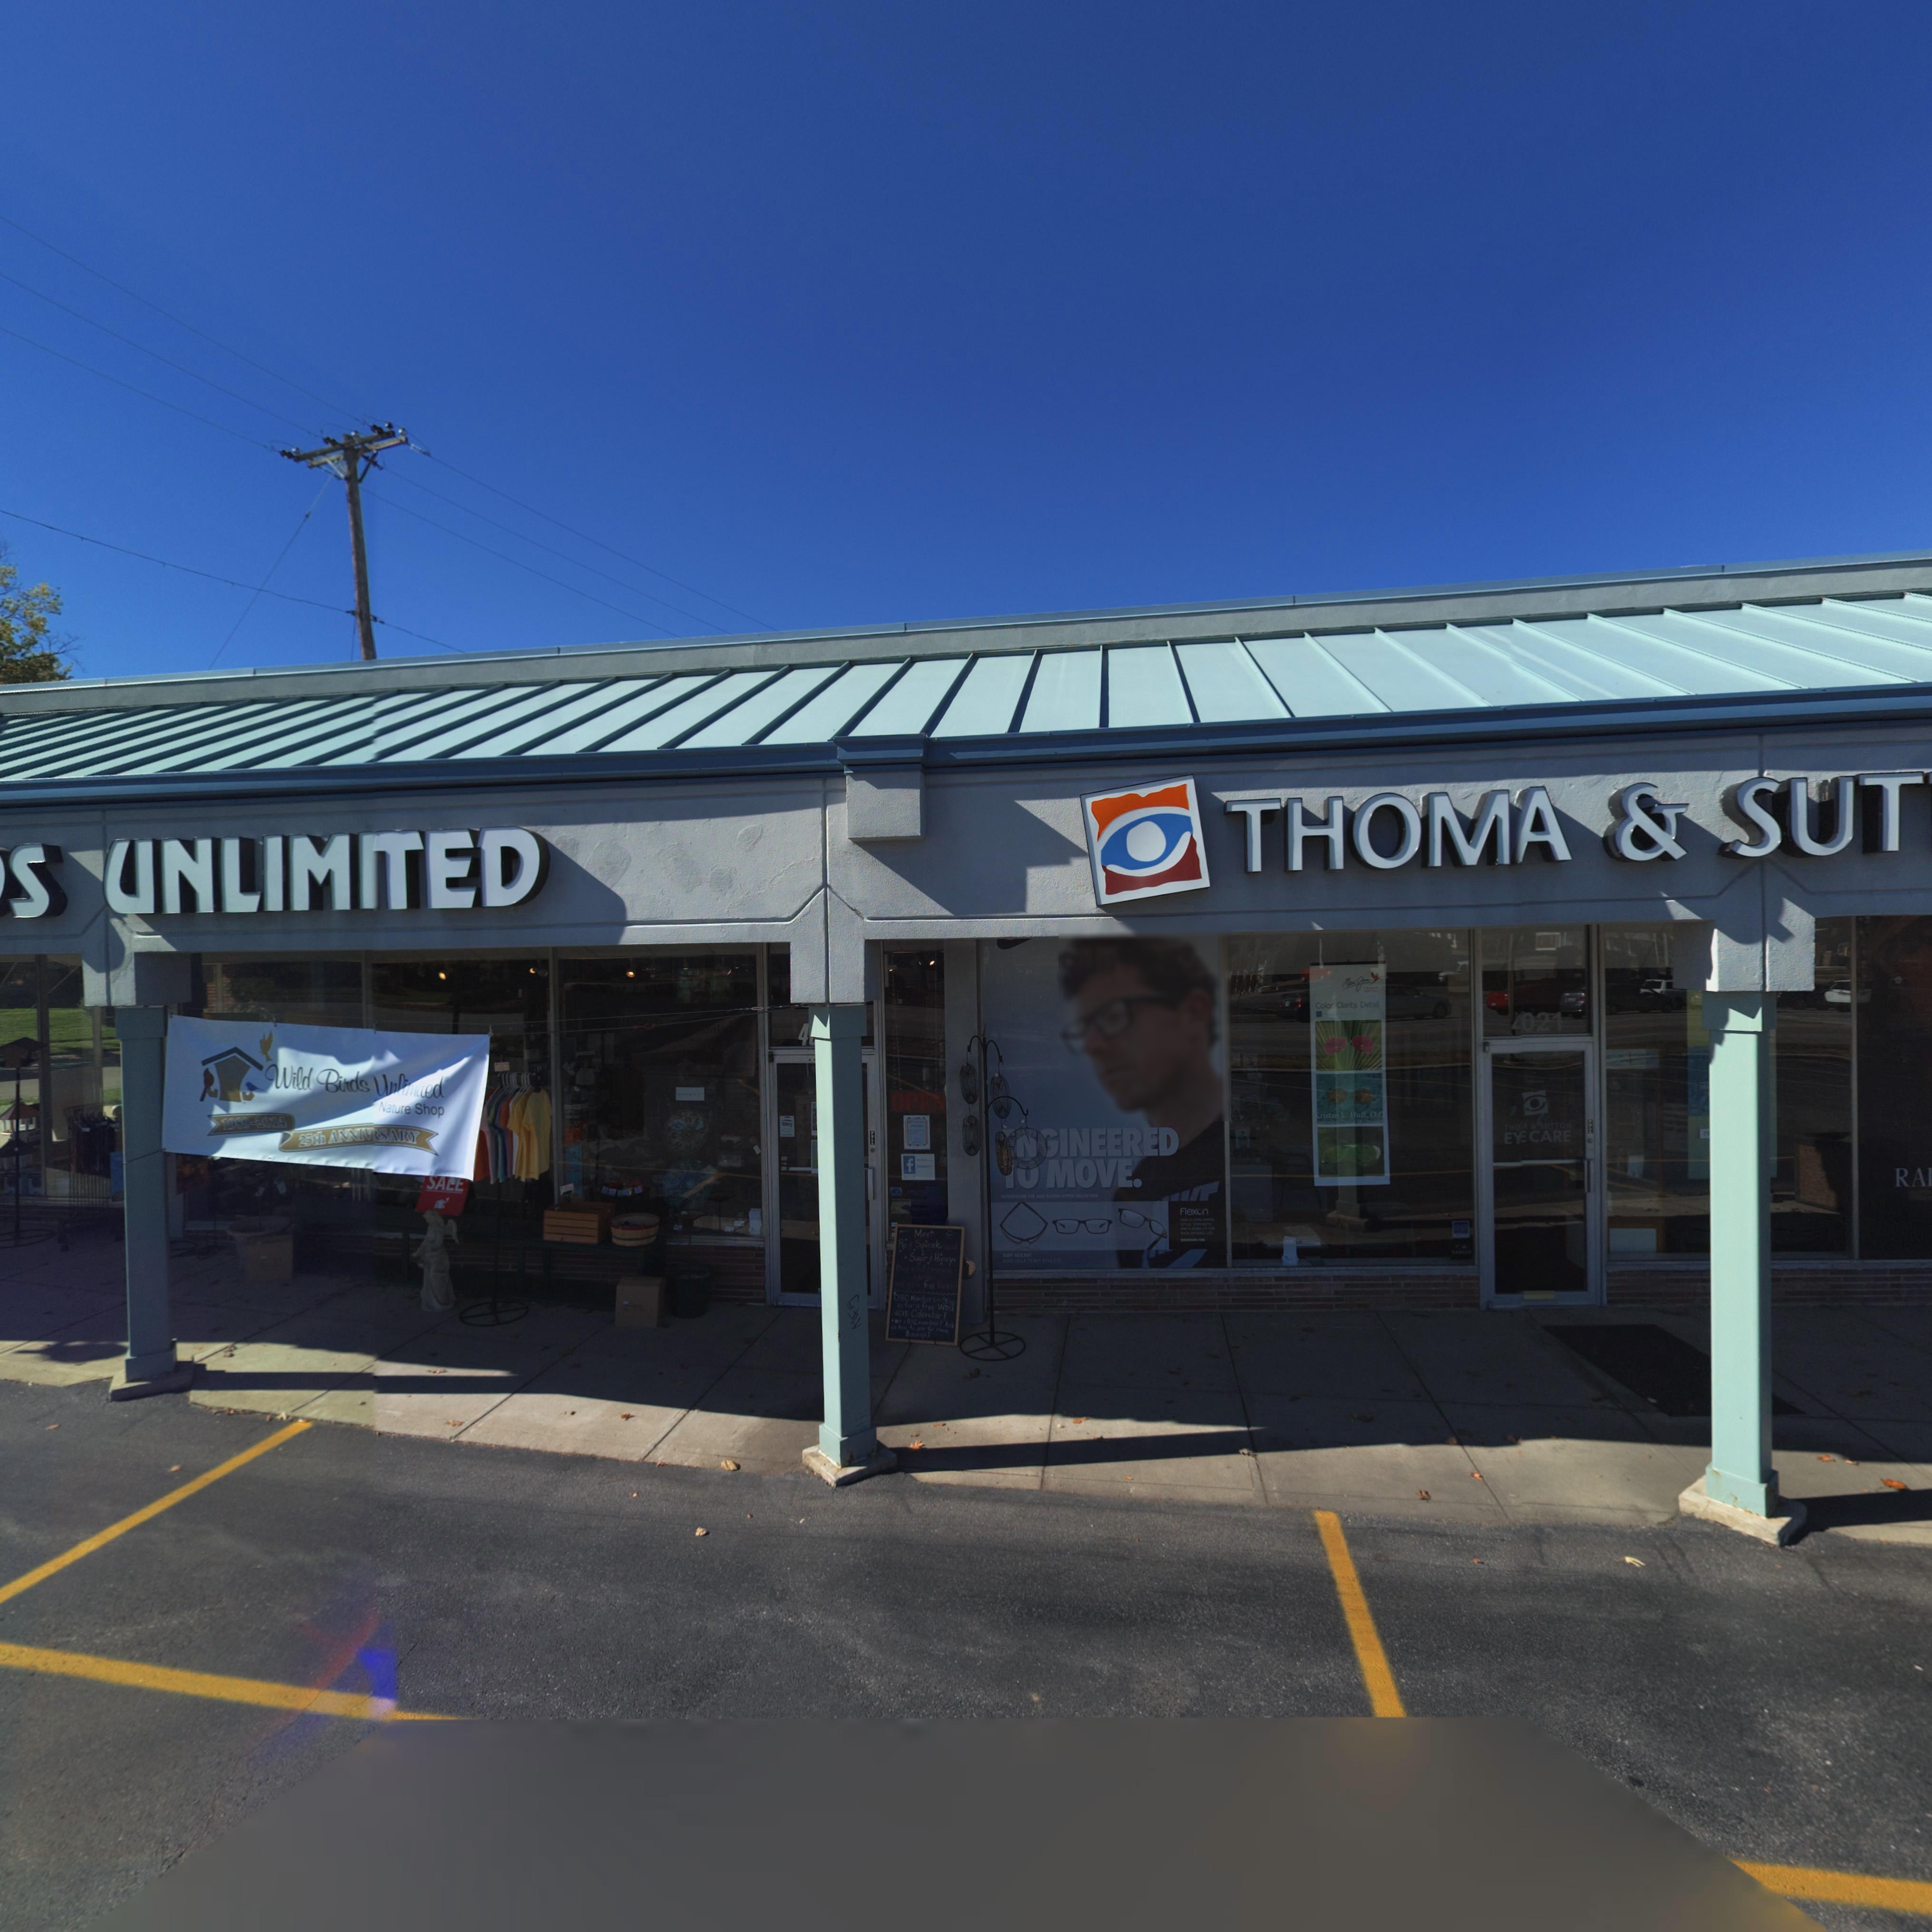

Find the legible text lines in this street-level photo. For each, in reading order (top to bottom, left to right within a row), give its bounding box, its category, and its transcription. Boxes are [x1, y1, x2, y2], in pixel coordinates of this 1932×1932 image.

[1222, 768, 1927, 876] BusinessName: THOMA & SUT
[5, 823, 545, 920] BusinessName: S UNLIMITED
[1314, 1000, 1381, 1010] None: Color. Clarity. Detail.
[1520, 1010, 1564, 1034] StreetNumber: 021
[263, 1063, 446, 1100] BusinessName: Wild Birds Unlimited
[377, 1100, 445, 1120] BusinessName: Nature Shop
[220, 1115, 288, 1132] None: 1989-2004
[297, 1126, 422, 1148] None: 25th ANNIV*SARY
[1015, 1127, 1180, 1159] None: NGINEERED
[1503, 1122, 1573, 1131] BusinessName: THO*A & SUTTON
[1503, 1129, 1573, 1146] BusinessName: EY* CARE
[433, 1175, 446, 1191] None: A
[1015, 1158, 1143, 1190] None: O MOVE.
[1894, 1167, 1927, 1188] None: RA
[1179, 1207, 1209, 1216] None: flexon